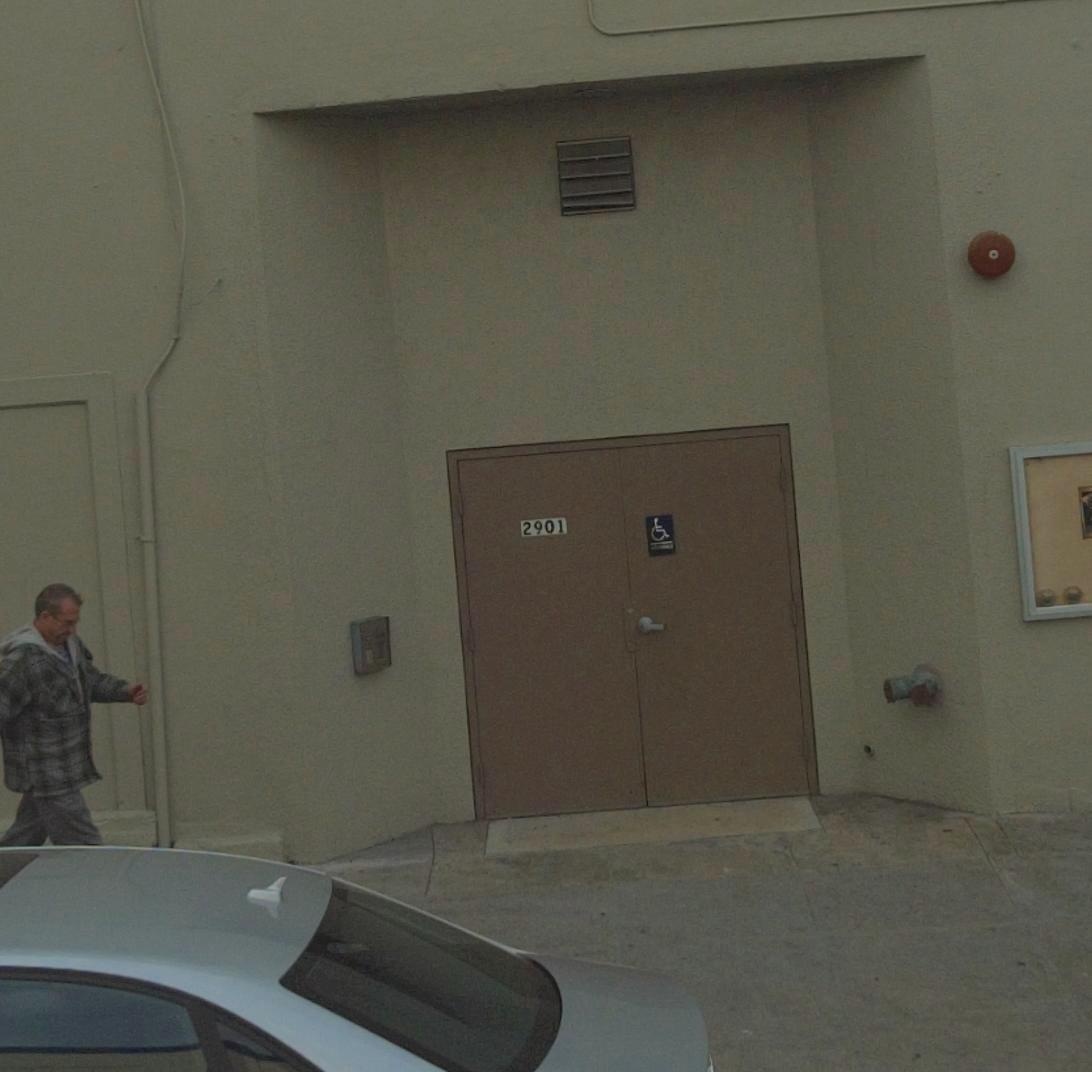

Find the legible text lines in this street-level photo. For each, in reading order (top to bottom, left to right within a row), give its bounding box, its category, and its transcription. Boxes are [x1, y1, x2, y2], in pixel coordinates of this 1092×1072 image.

[522, 518, 566, 536] StreetNumber: 2901